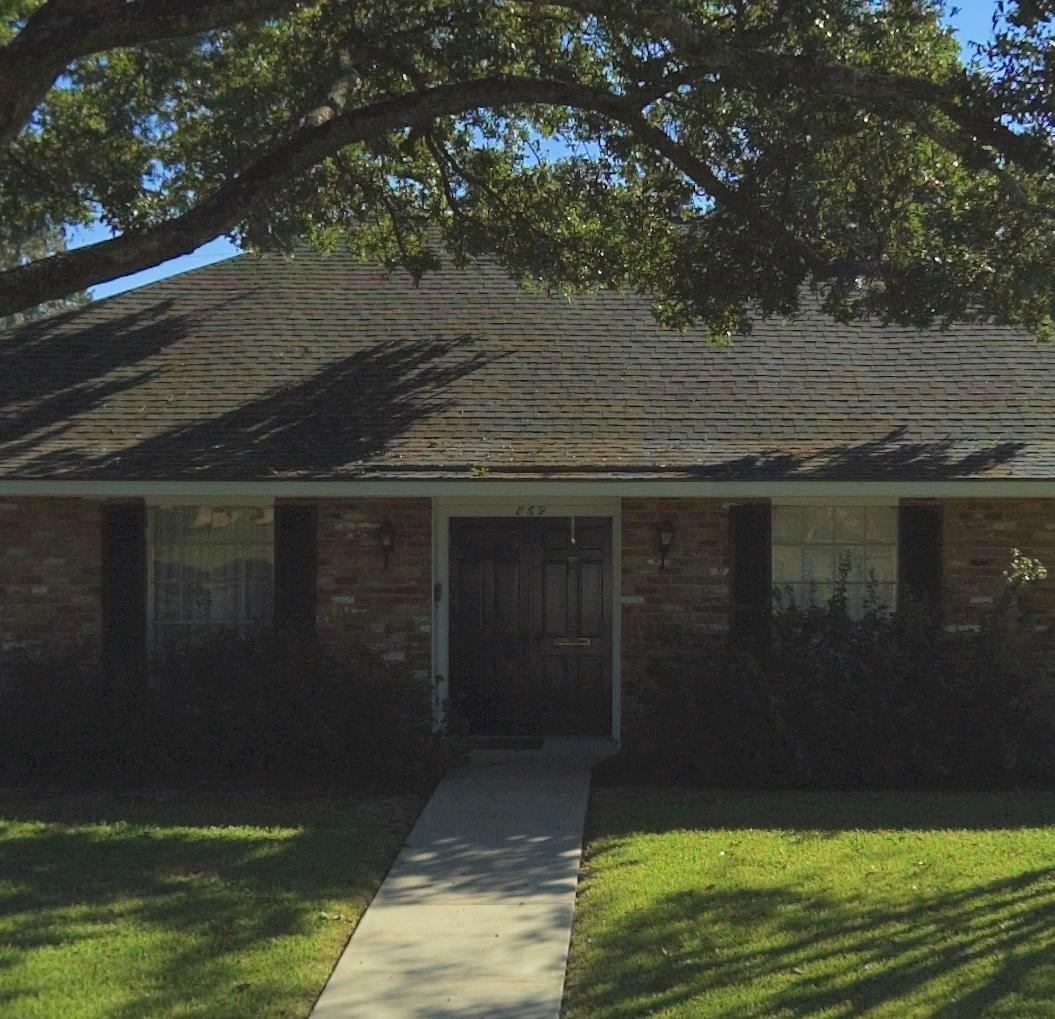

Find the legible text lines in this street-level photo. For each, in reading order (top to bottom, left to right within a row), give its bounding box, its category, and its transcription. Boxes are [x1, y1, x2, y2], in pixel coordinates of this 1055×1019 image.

[513, 504, 547, 517] StreetNumber: 869